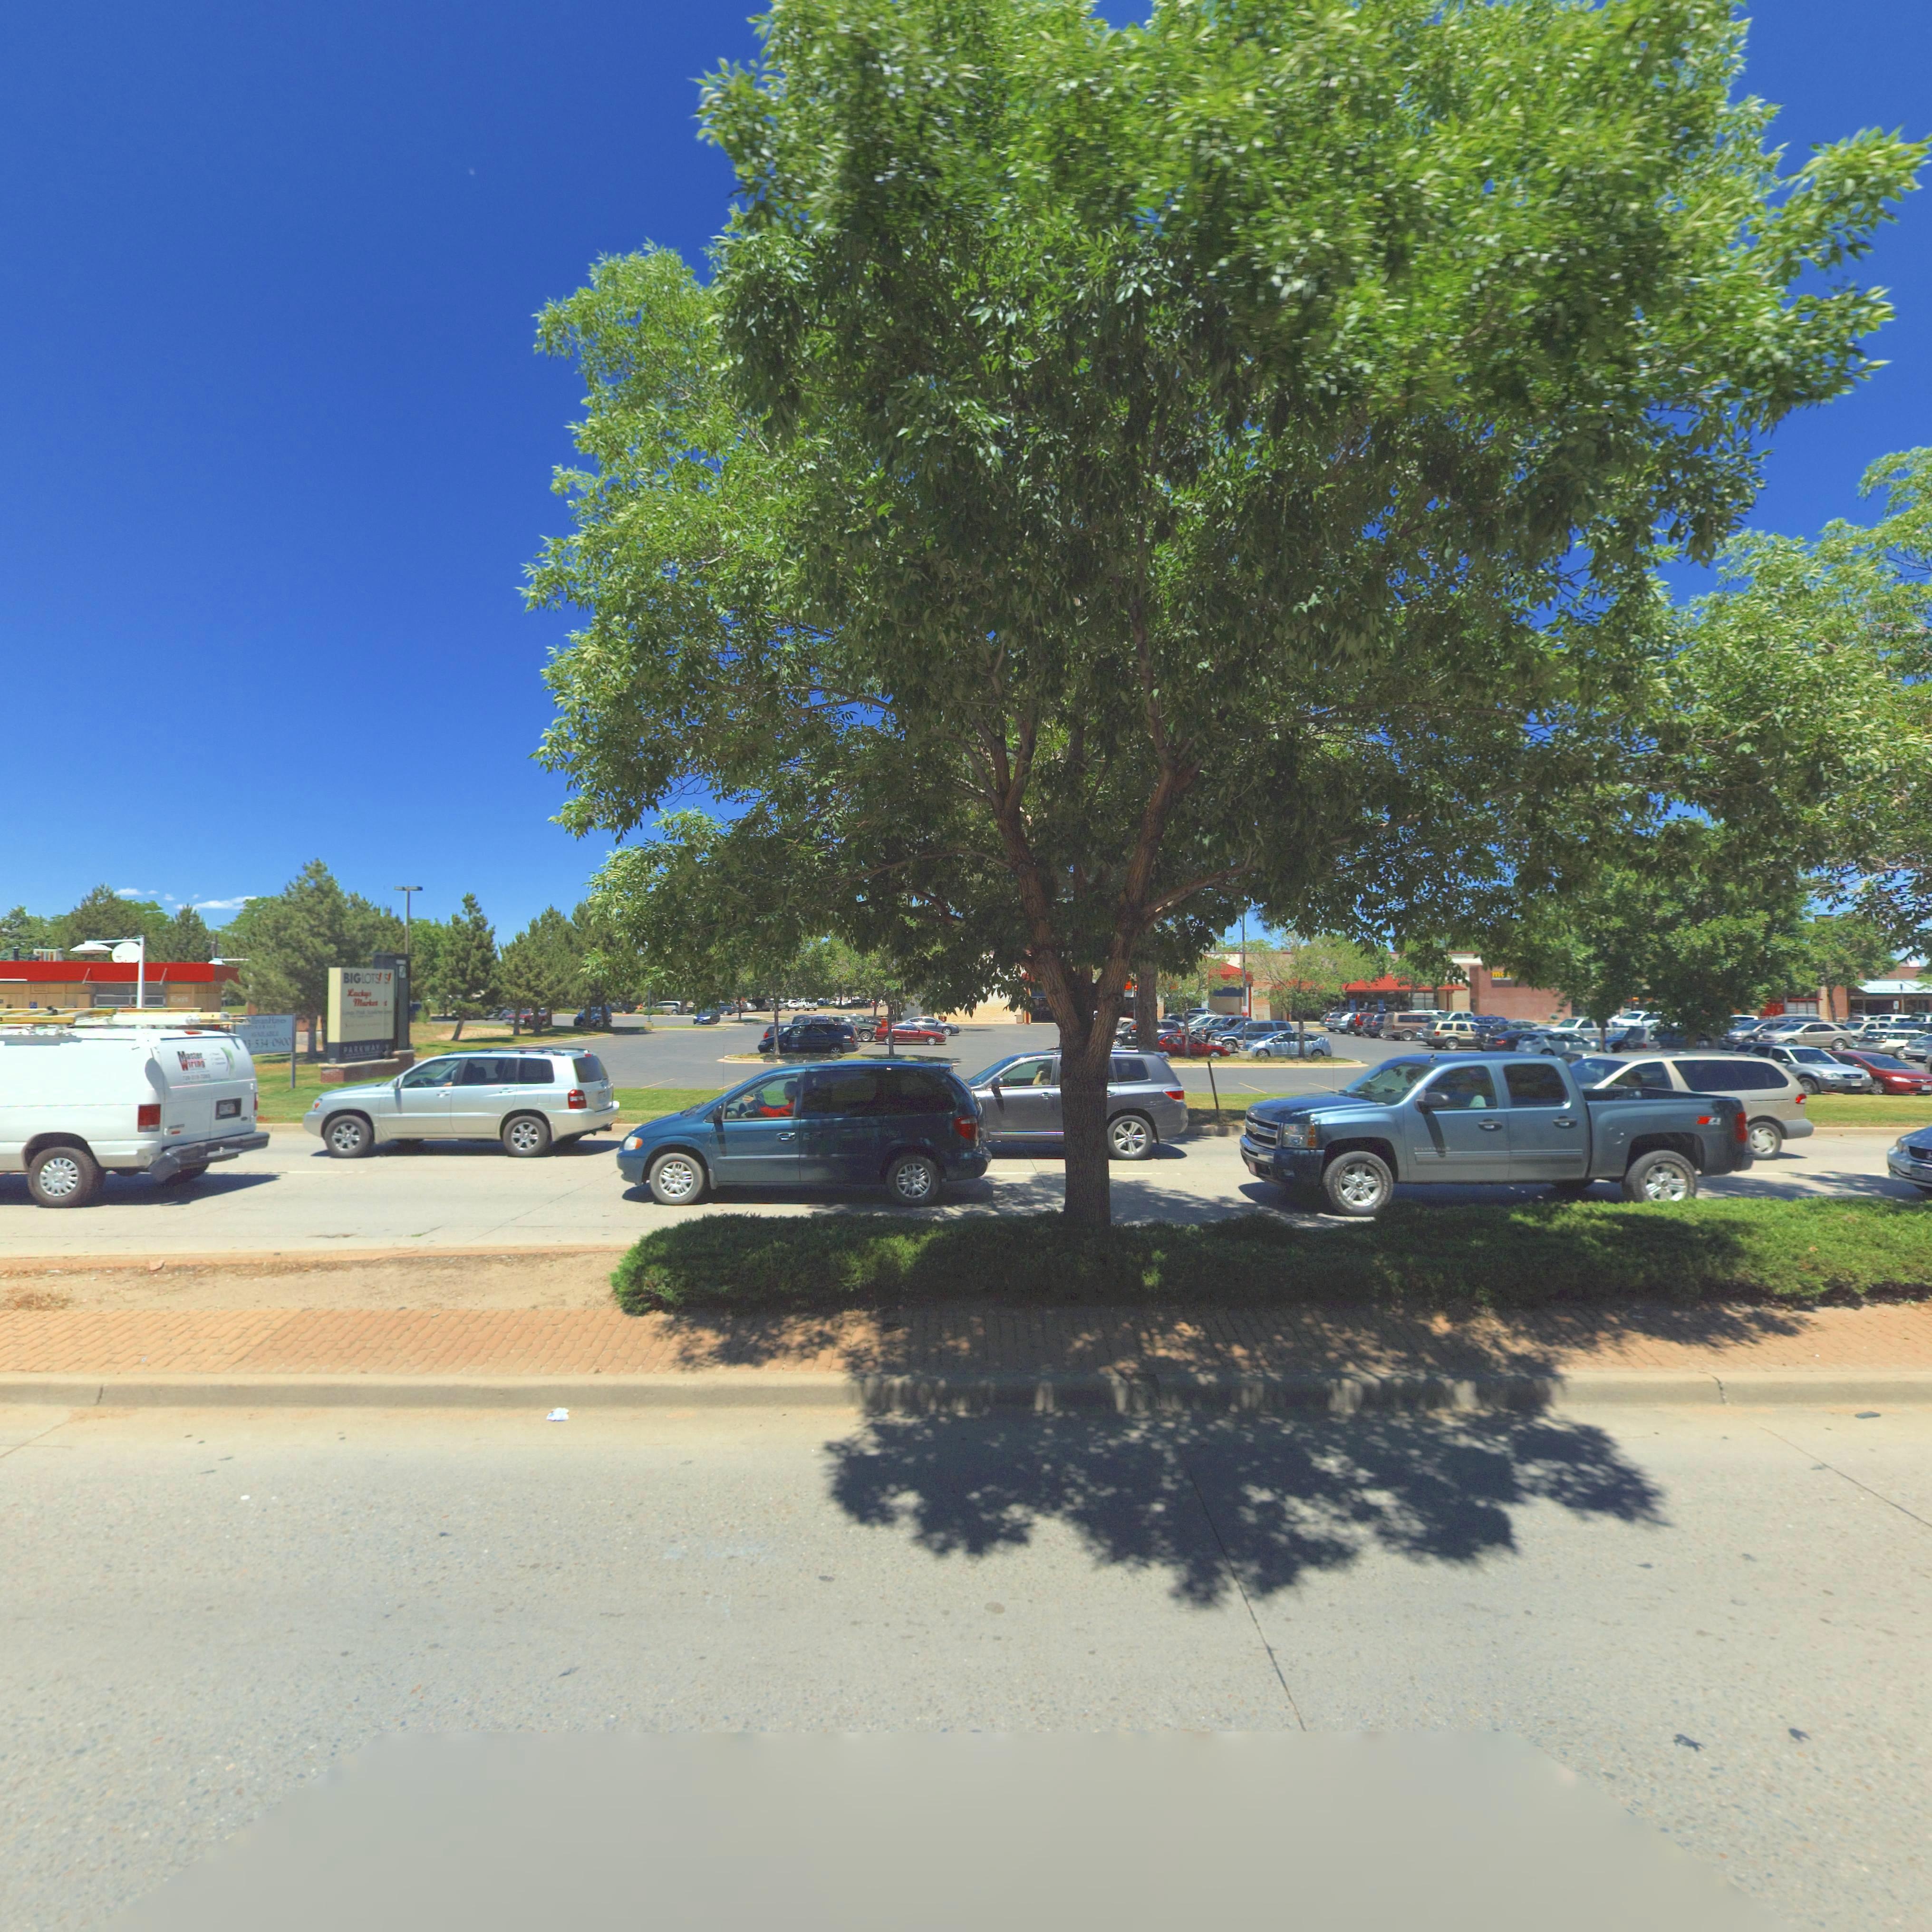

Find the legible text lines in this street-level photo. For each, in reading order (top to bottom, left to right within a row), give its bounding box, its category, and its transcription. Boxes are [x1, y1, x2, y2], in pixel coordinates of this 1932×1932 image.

[343, 971, 392, 985] BusinessName: BIG LOTS! S!
[1490, 970, 1512, 978] BusinessName: m**
[346, 987, 372, 1000] BusinessName: Lacky's
[352, 997, 378, 1006] BusinessName: Market